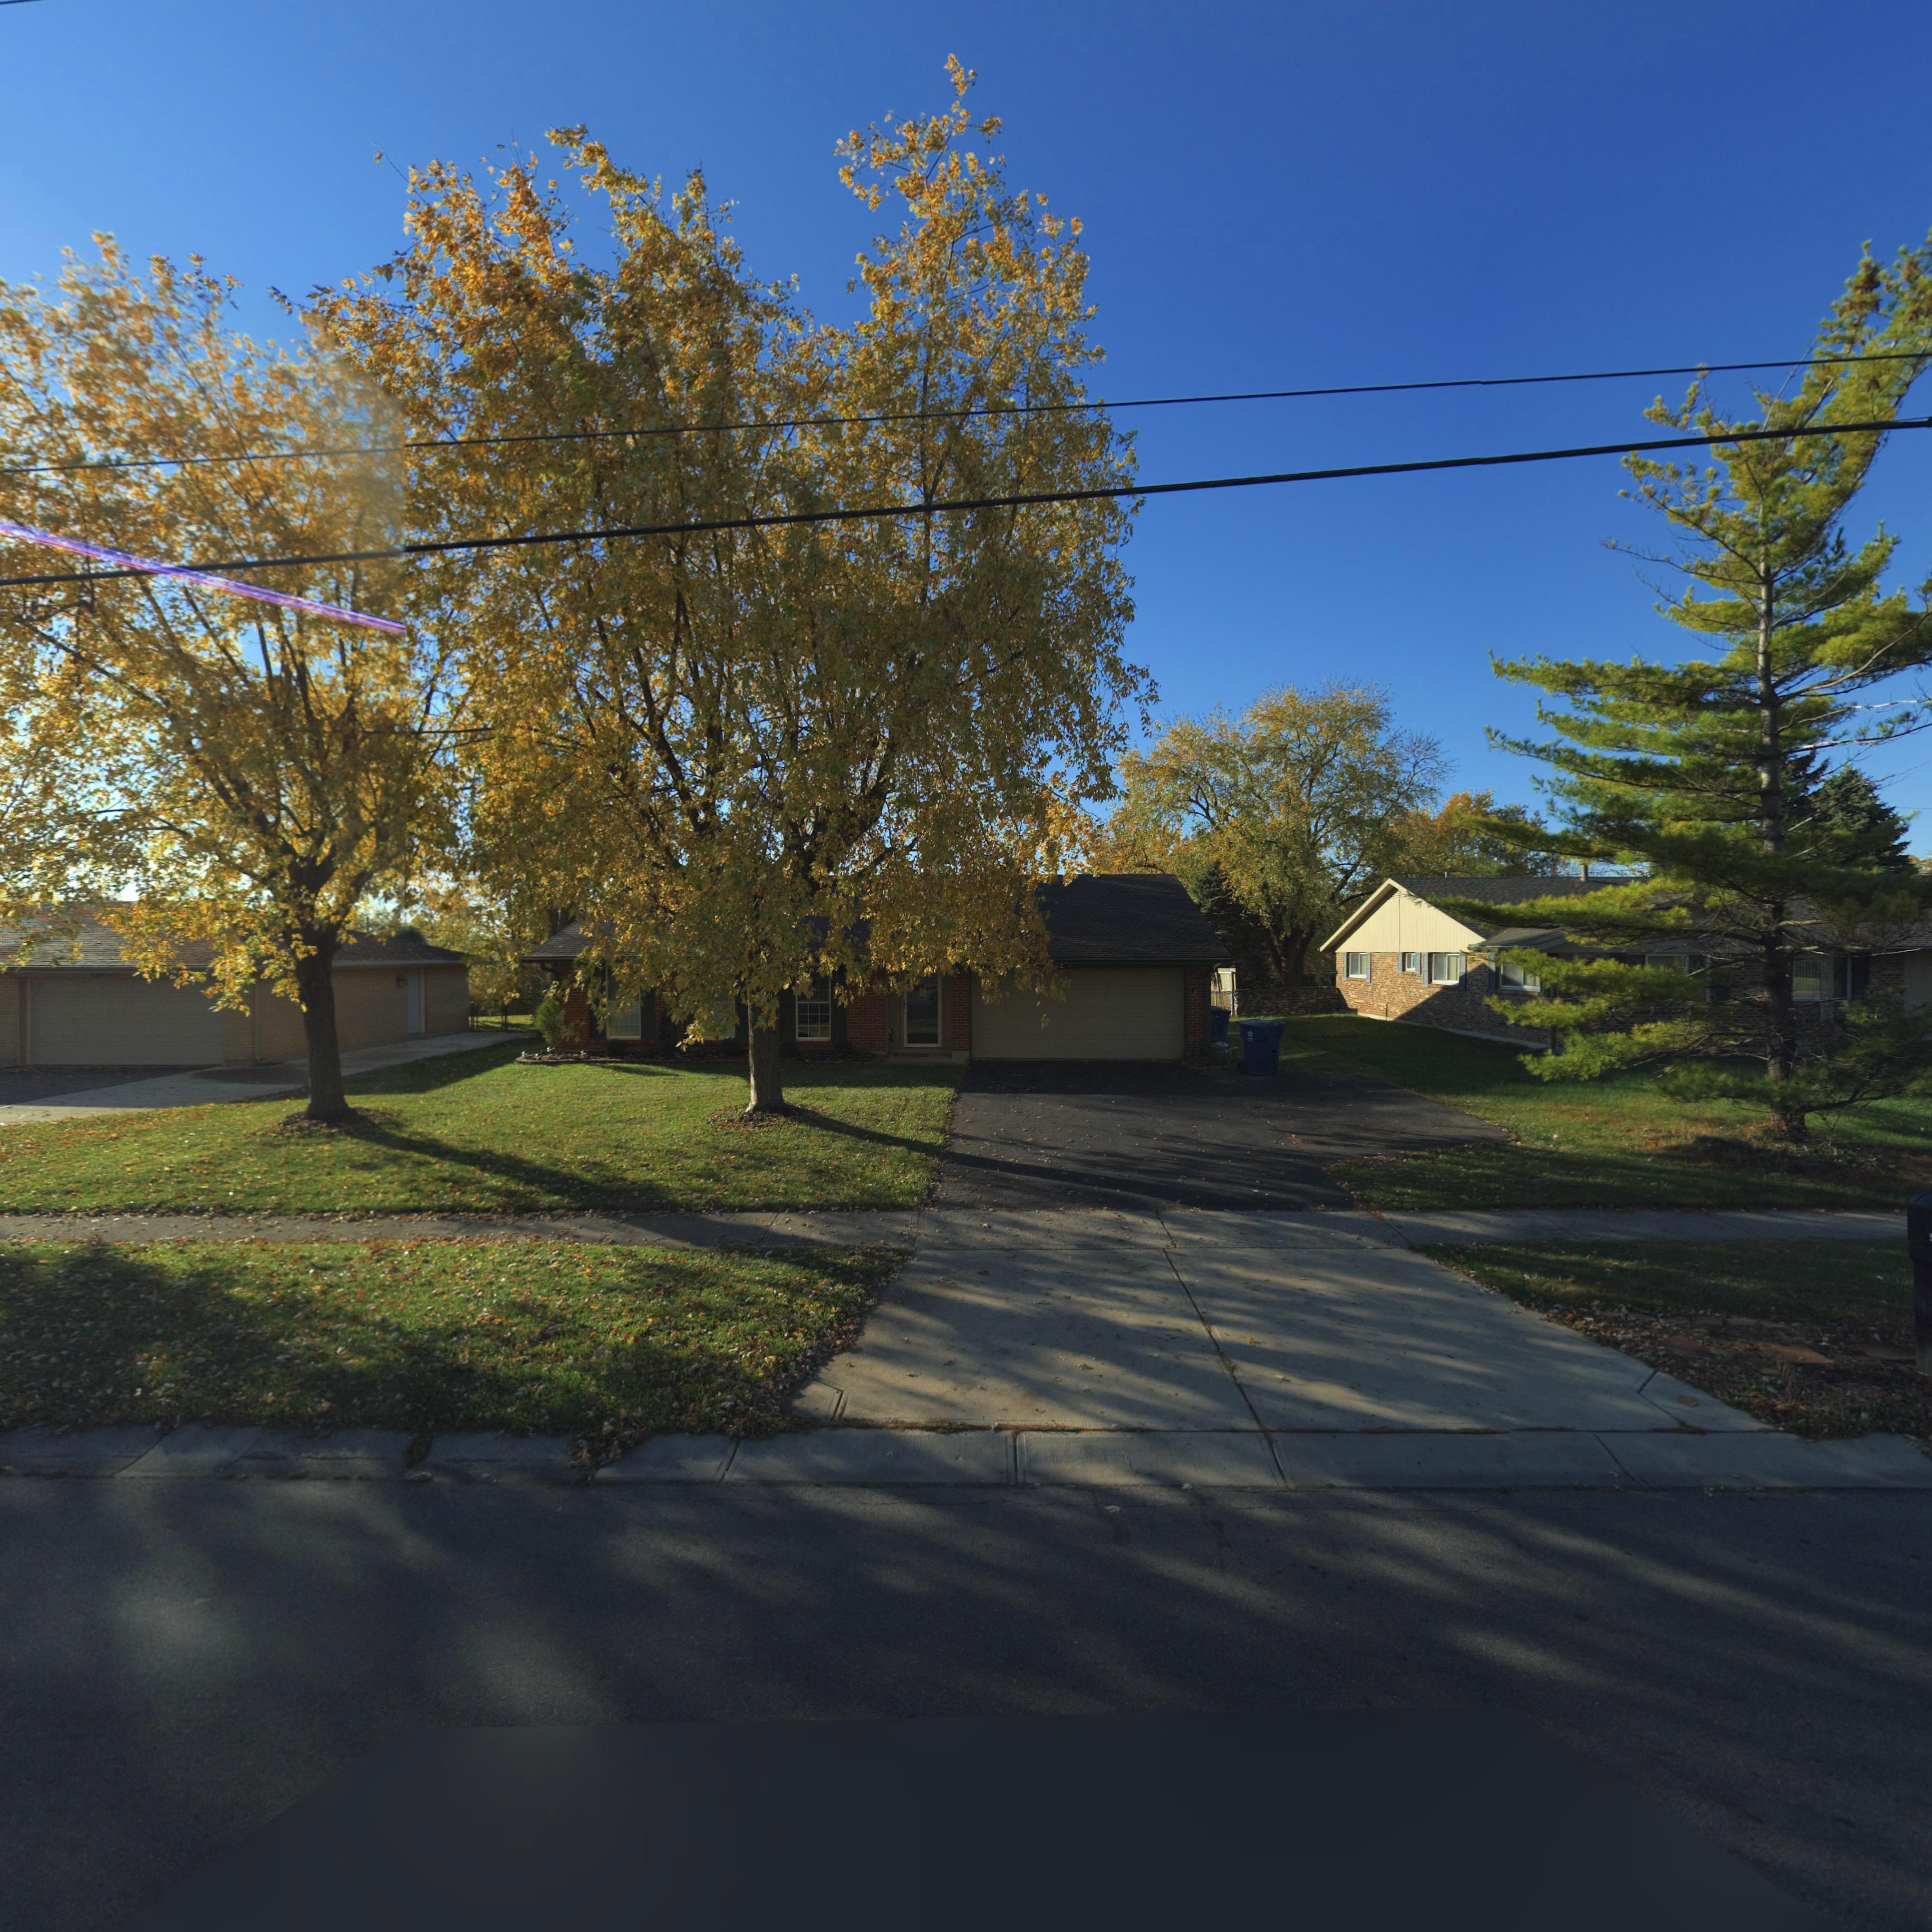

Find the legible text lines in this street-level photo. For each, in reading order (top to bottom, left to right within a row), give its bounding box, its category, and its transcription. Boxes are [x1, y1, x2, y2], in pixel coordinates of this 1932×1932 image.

[1059, 963, 1064, 969] StreetNumber: 2